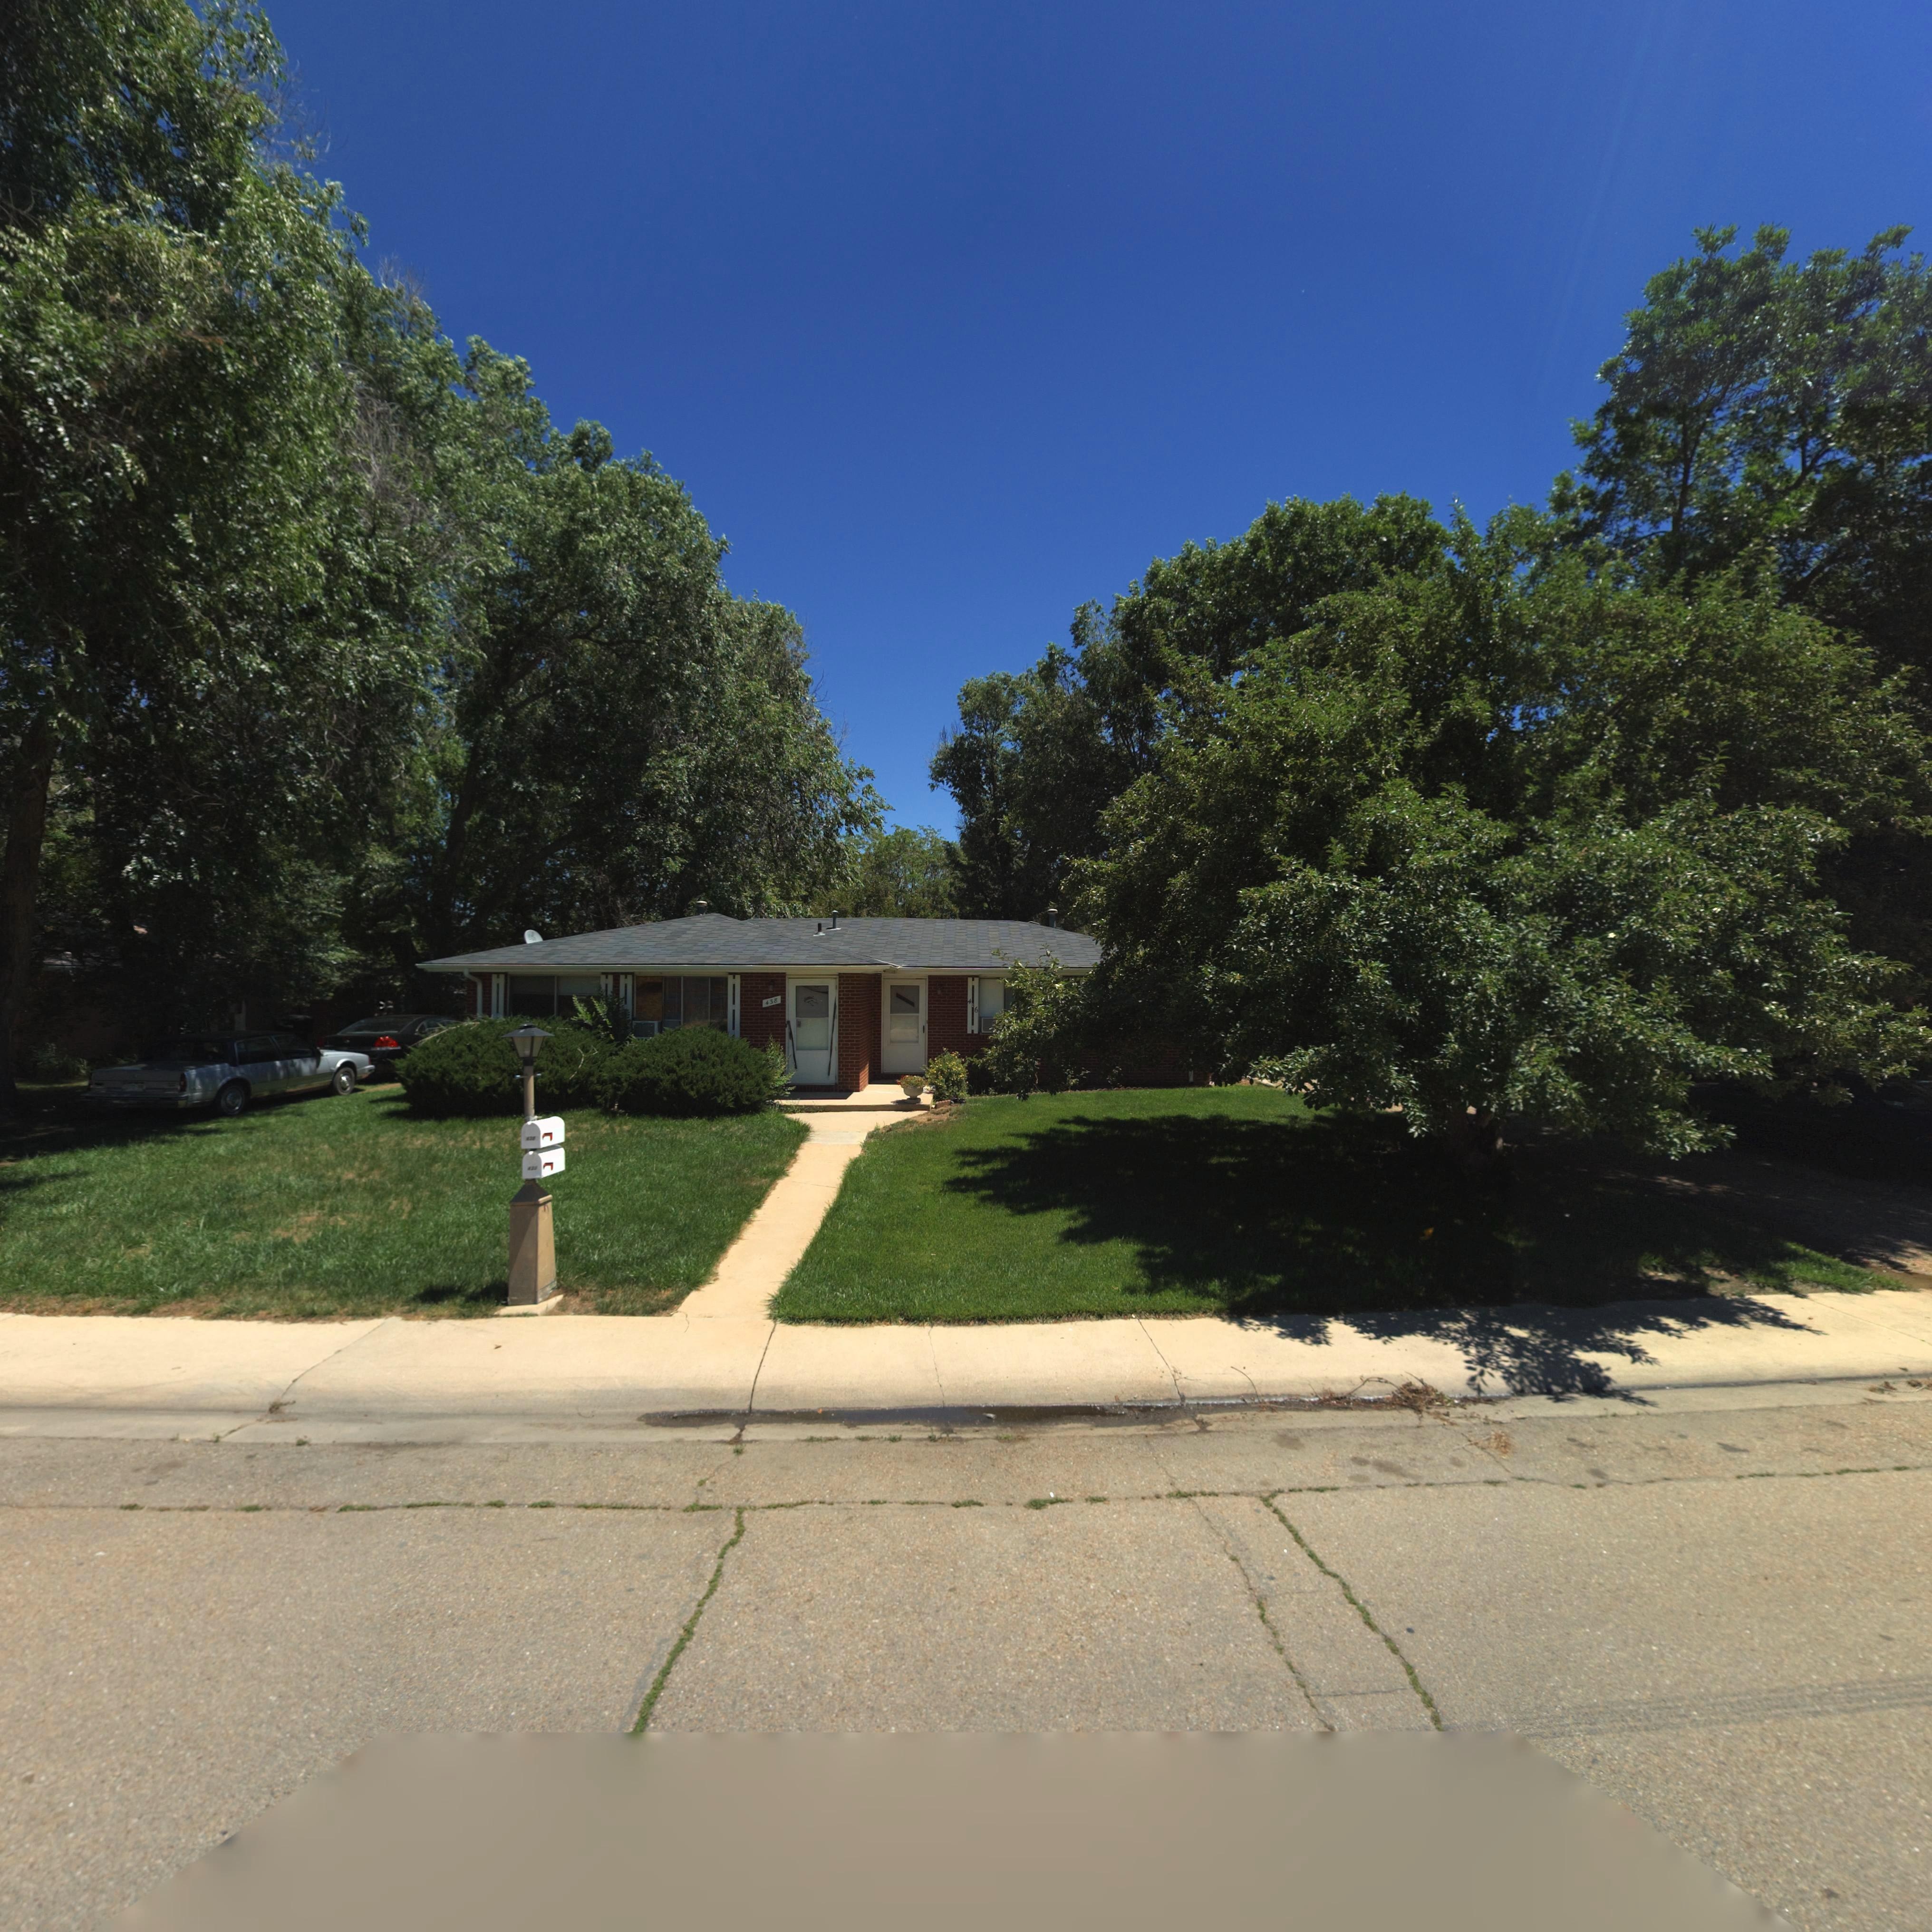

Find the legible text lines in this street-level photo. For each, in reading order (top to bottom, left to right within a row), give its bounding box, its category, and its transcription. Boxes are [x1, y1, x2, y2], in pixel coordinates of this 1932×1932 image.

[765, 997, 778, 1005] StreetNumber: 438
[966, 998, 978, 1013] StreetNumber: 4*6
[526, 1136, 536, 1141] StreetNumber: 43*
[527, 1166, 538, 1170] StreetNumber: 43*